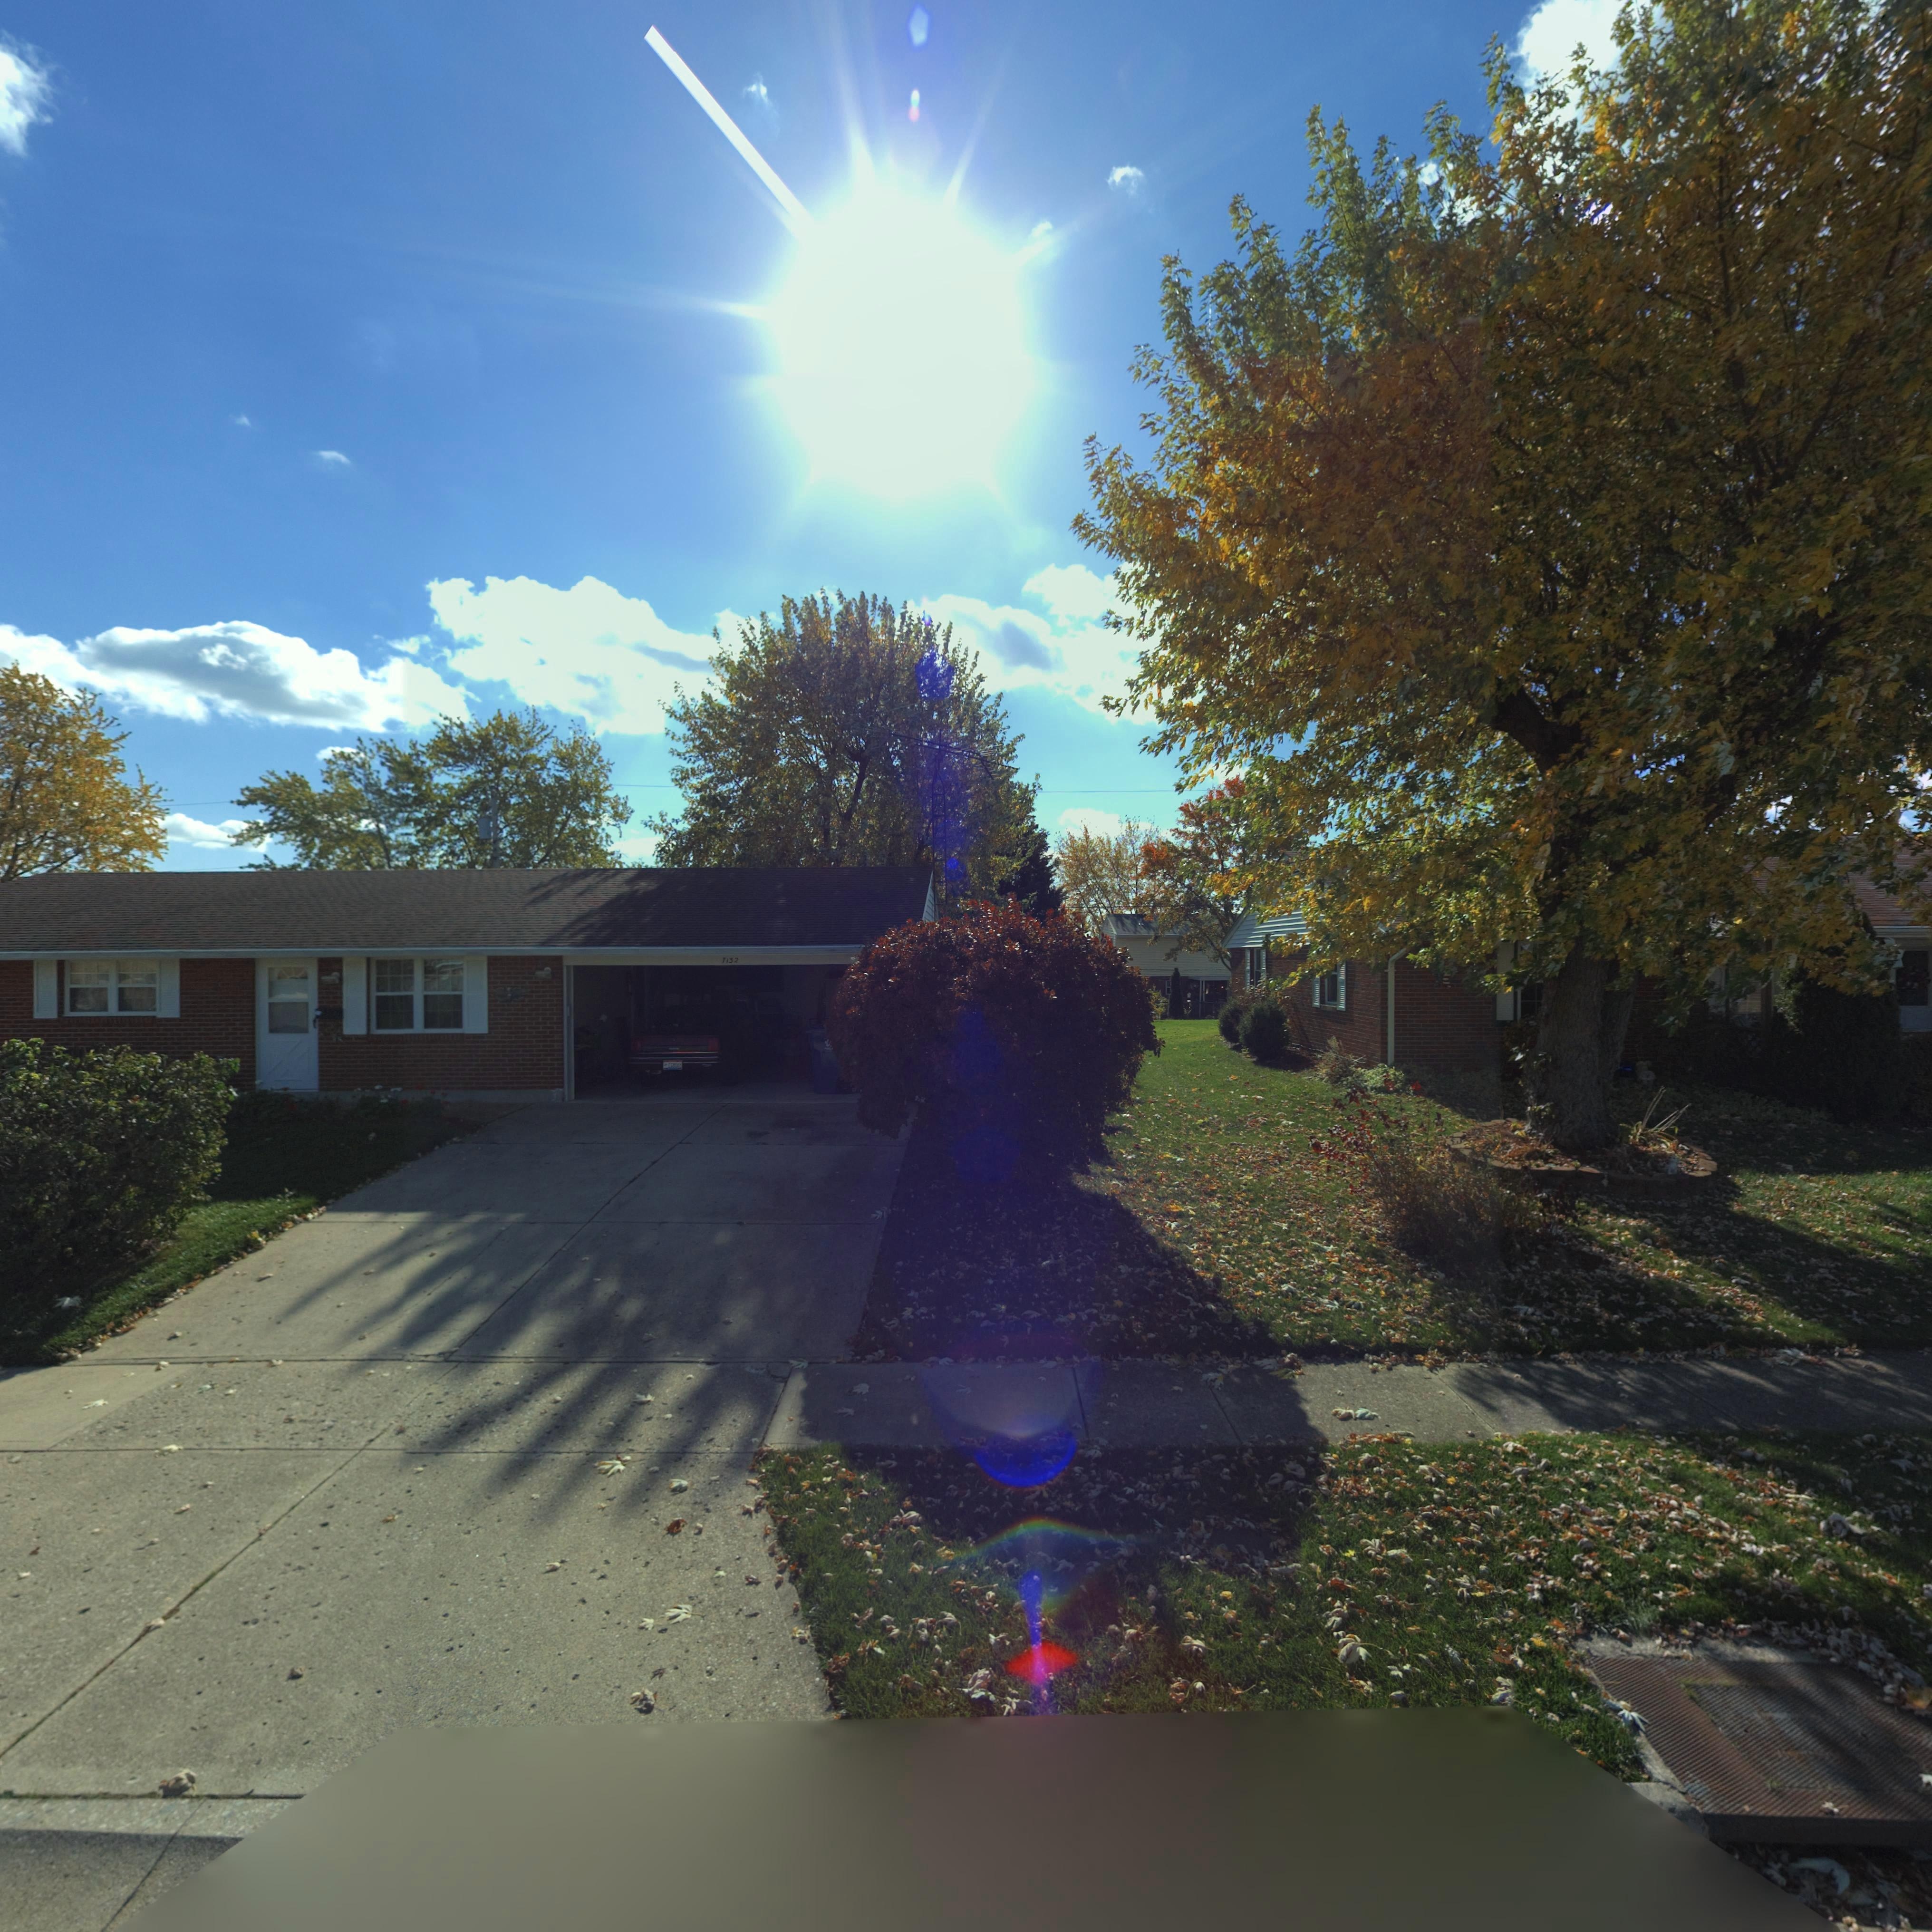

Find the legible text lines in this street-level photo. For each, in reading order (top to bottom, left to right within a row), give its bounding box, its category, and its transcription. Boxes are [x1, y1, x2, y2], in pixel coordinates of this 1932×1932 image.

[721, 956, 739, 965] StreetNumber: 7132